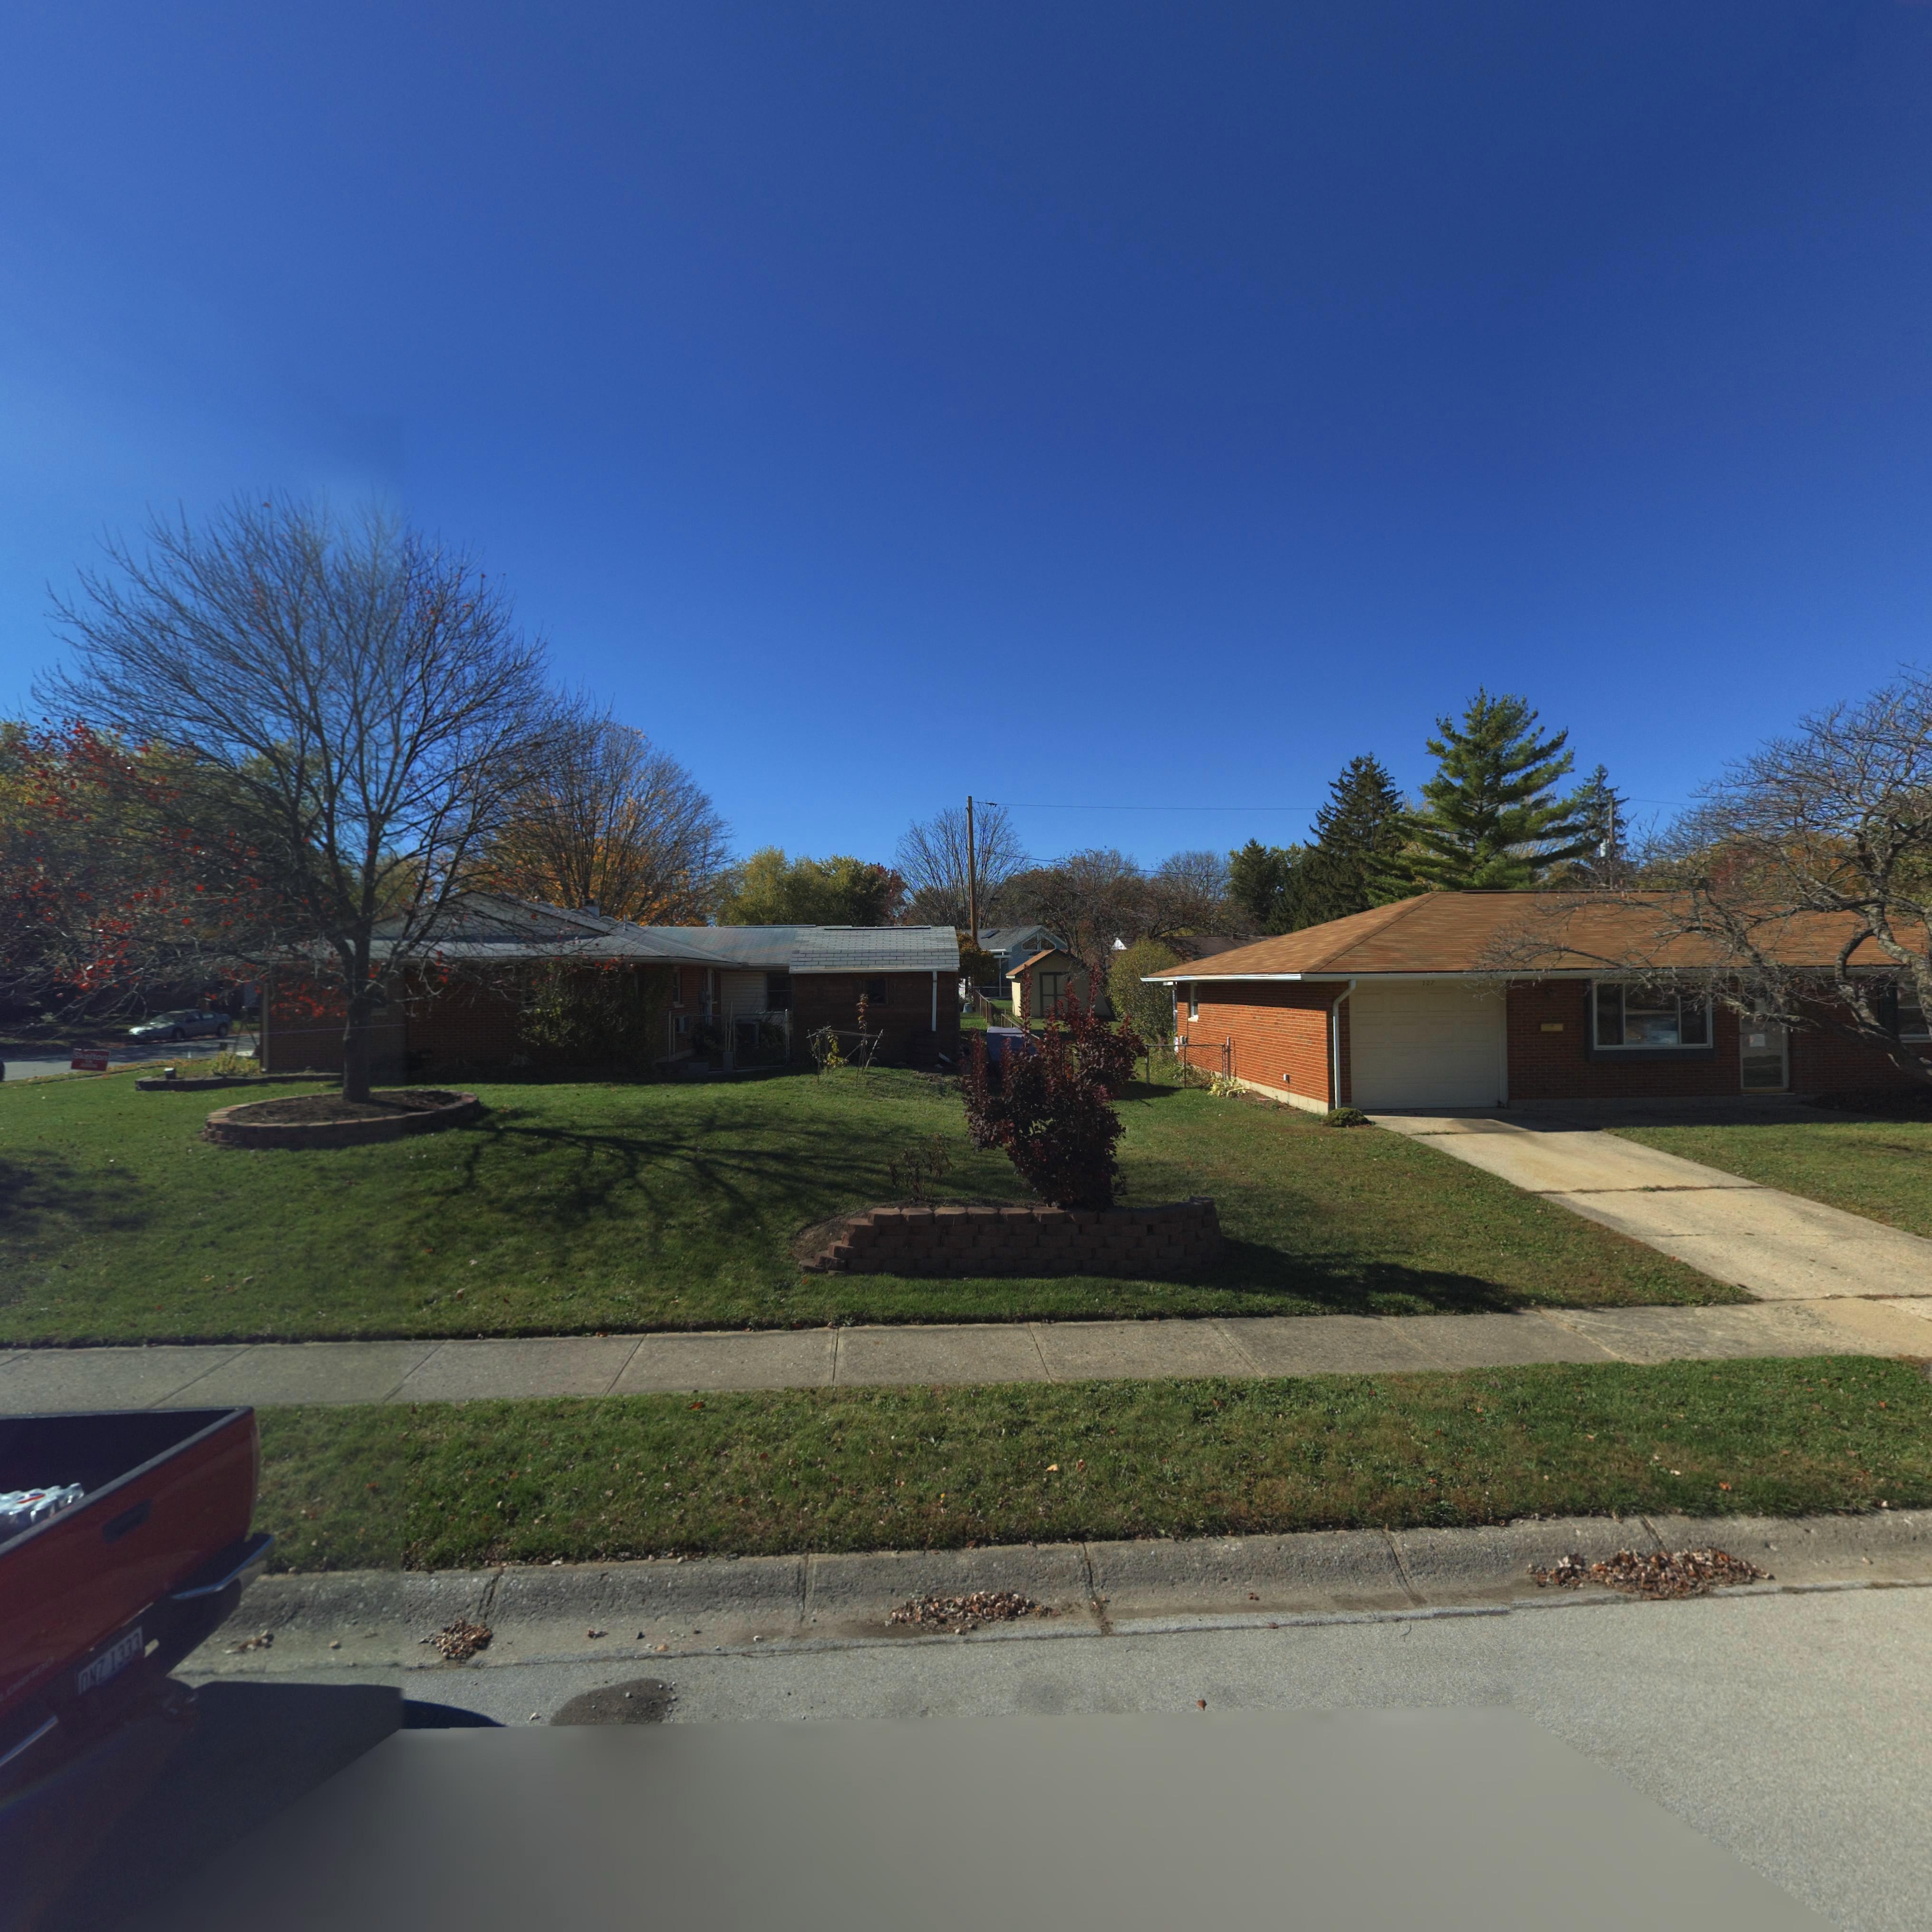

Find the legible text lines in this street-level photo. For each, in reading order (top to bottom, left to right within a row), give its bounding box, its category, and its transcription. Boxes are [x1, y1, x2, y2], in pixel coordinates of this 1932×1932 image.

[1421, 979, 1436, 987] StreetNumber: 12*